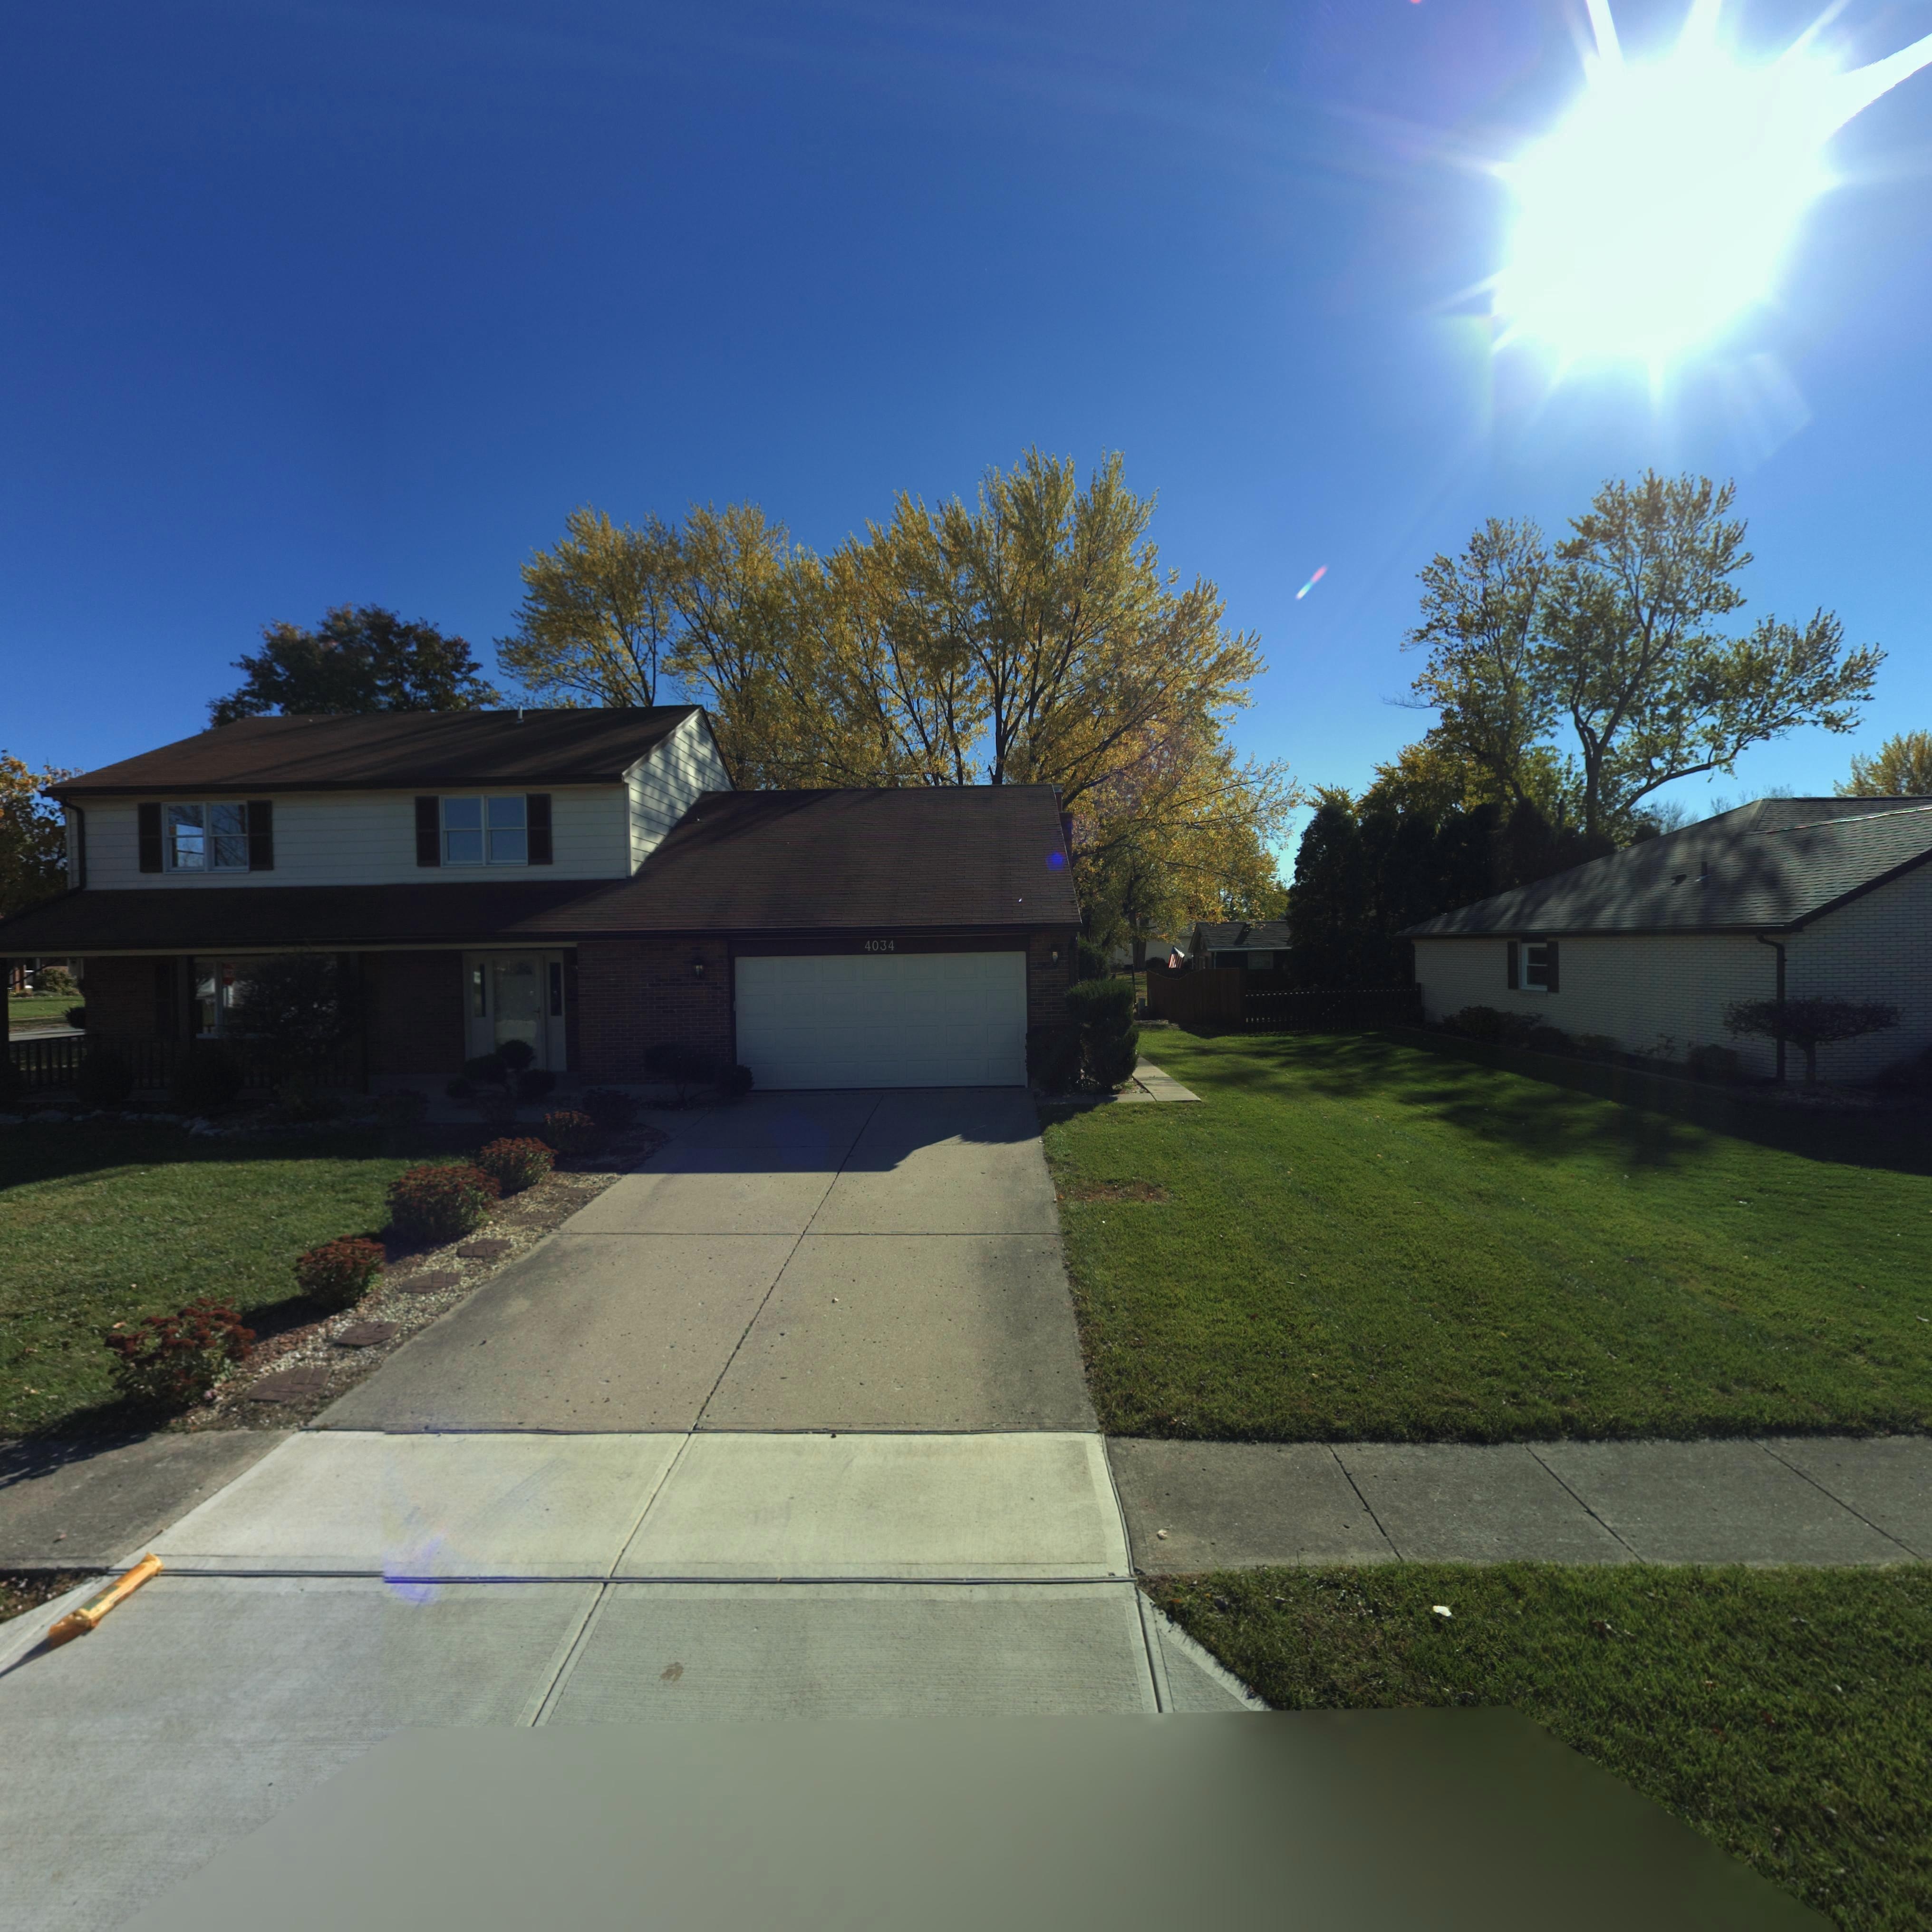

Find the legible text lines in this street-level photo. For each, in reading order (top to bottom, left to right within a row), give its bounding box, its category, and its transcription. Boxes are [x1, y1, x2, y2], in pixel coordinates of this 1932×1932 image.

[864, 939, 895, 952] StreetNumber: 4034